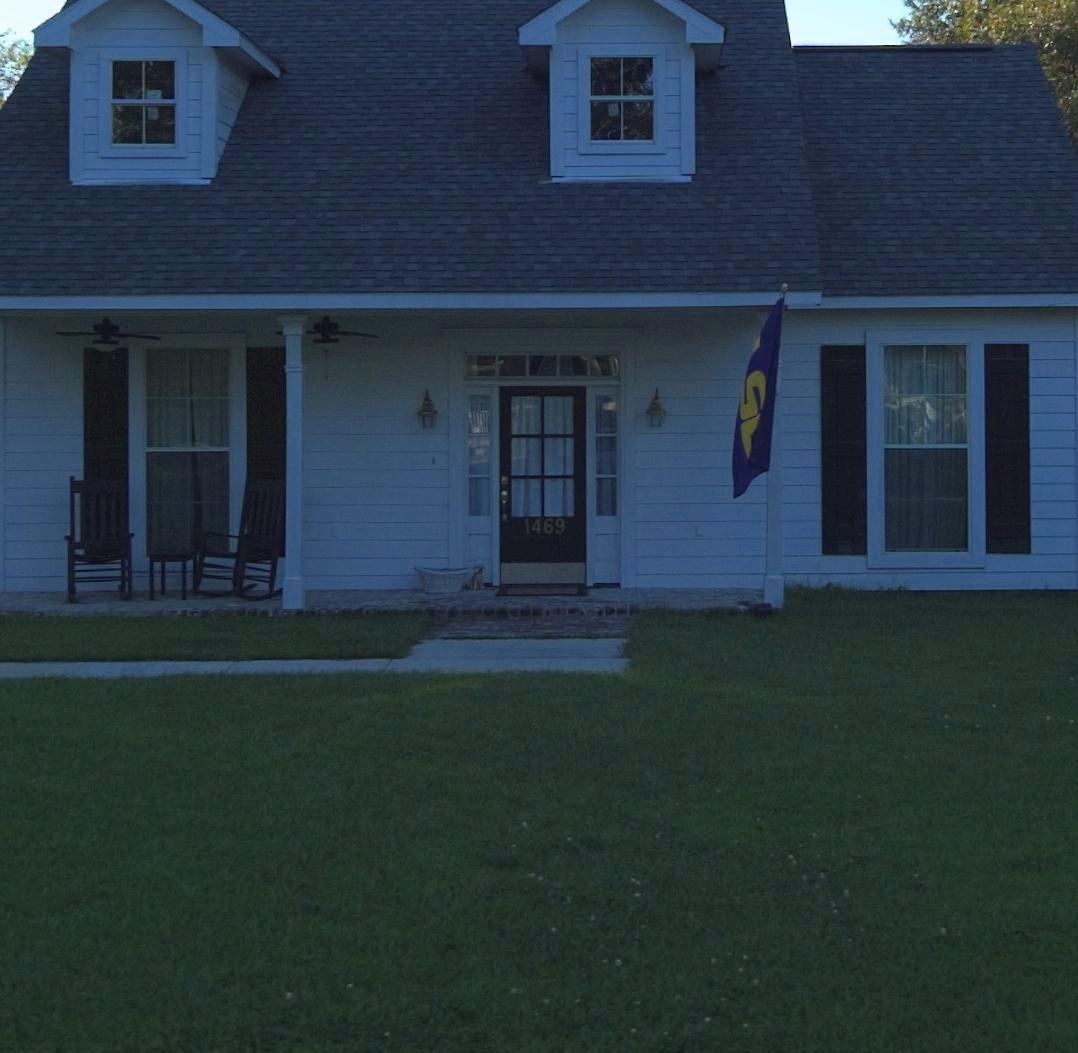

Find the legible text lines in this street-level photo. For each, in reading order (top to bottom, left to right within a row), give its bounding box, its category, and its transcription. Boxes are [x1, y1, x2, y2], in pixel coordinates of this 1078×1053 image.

[522, 516, 567, 536] StreetNumber: 1469